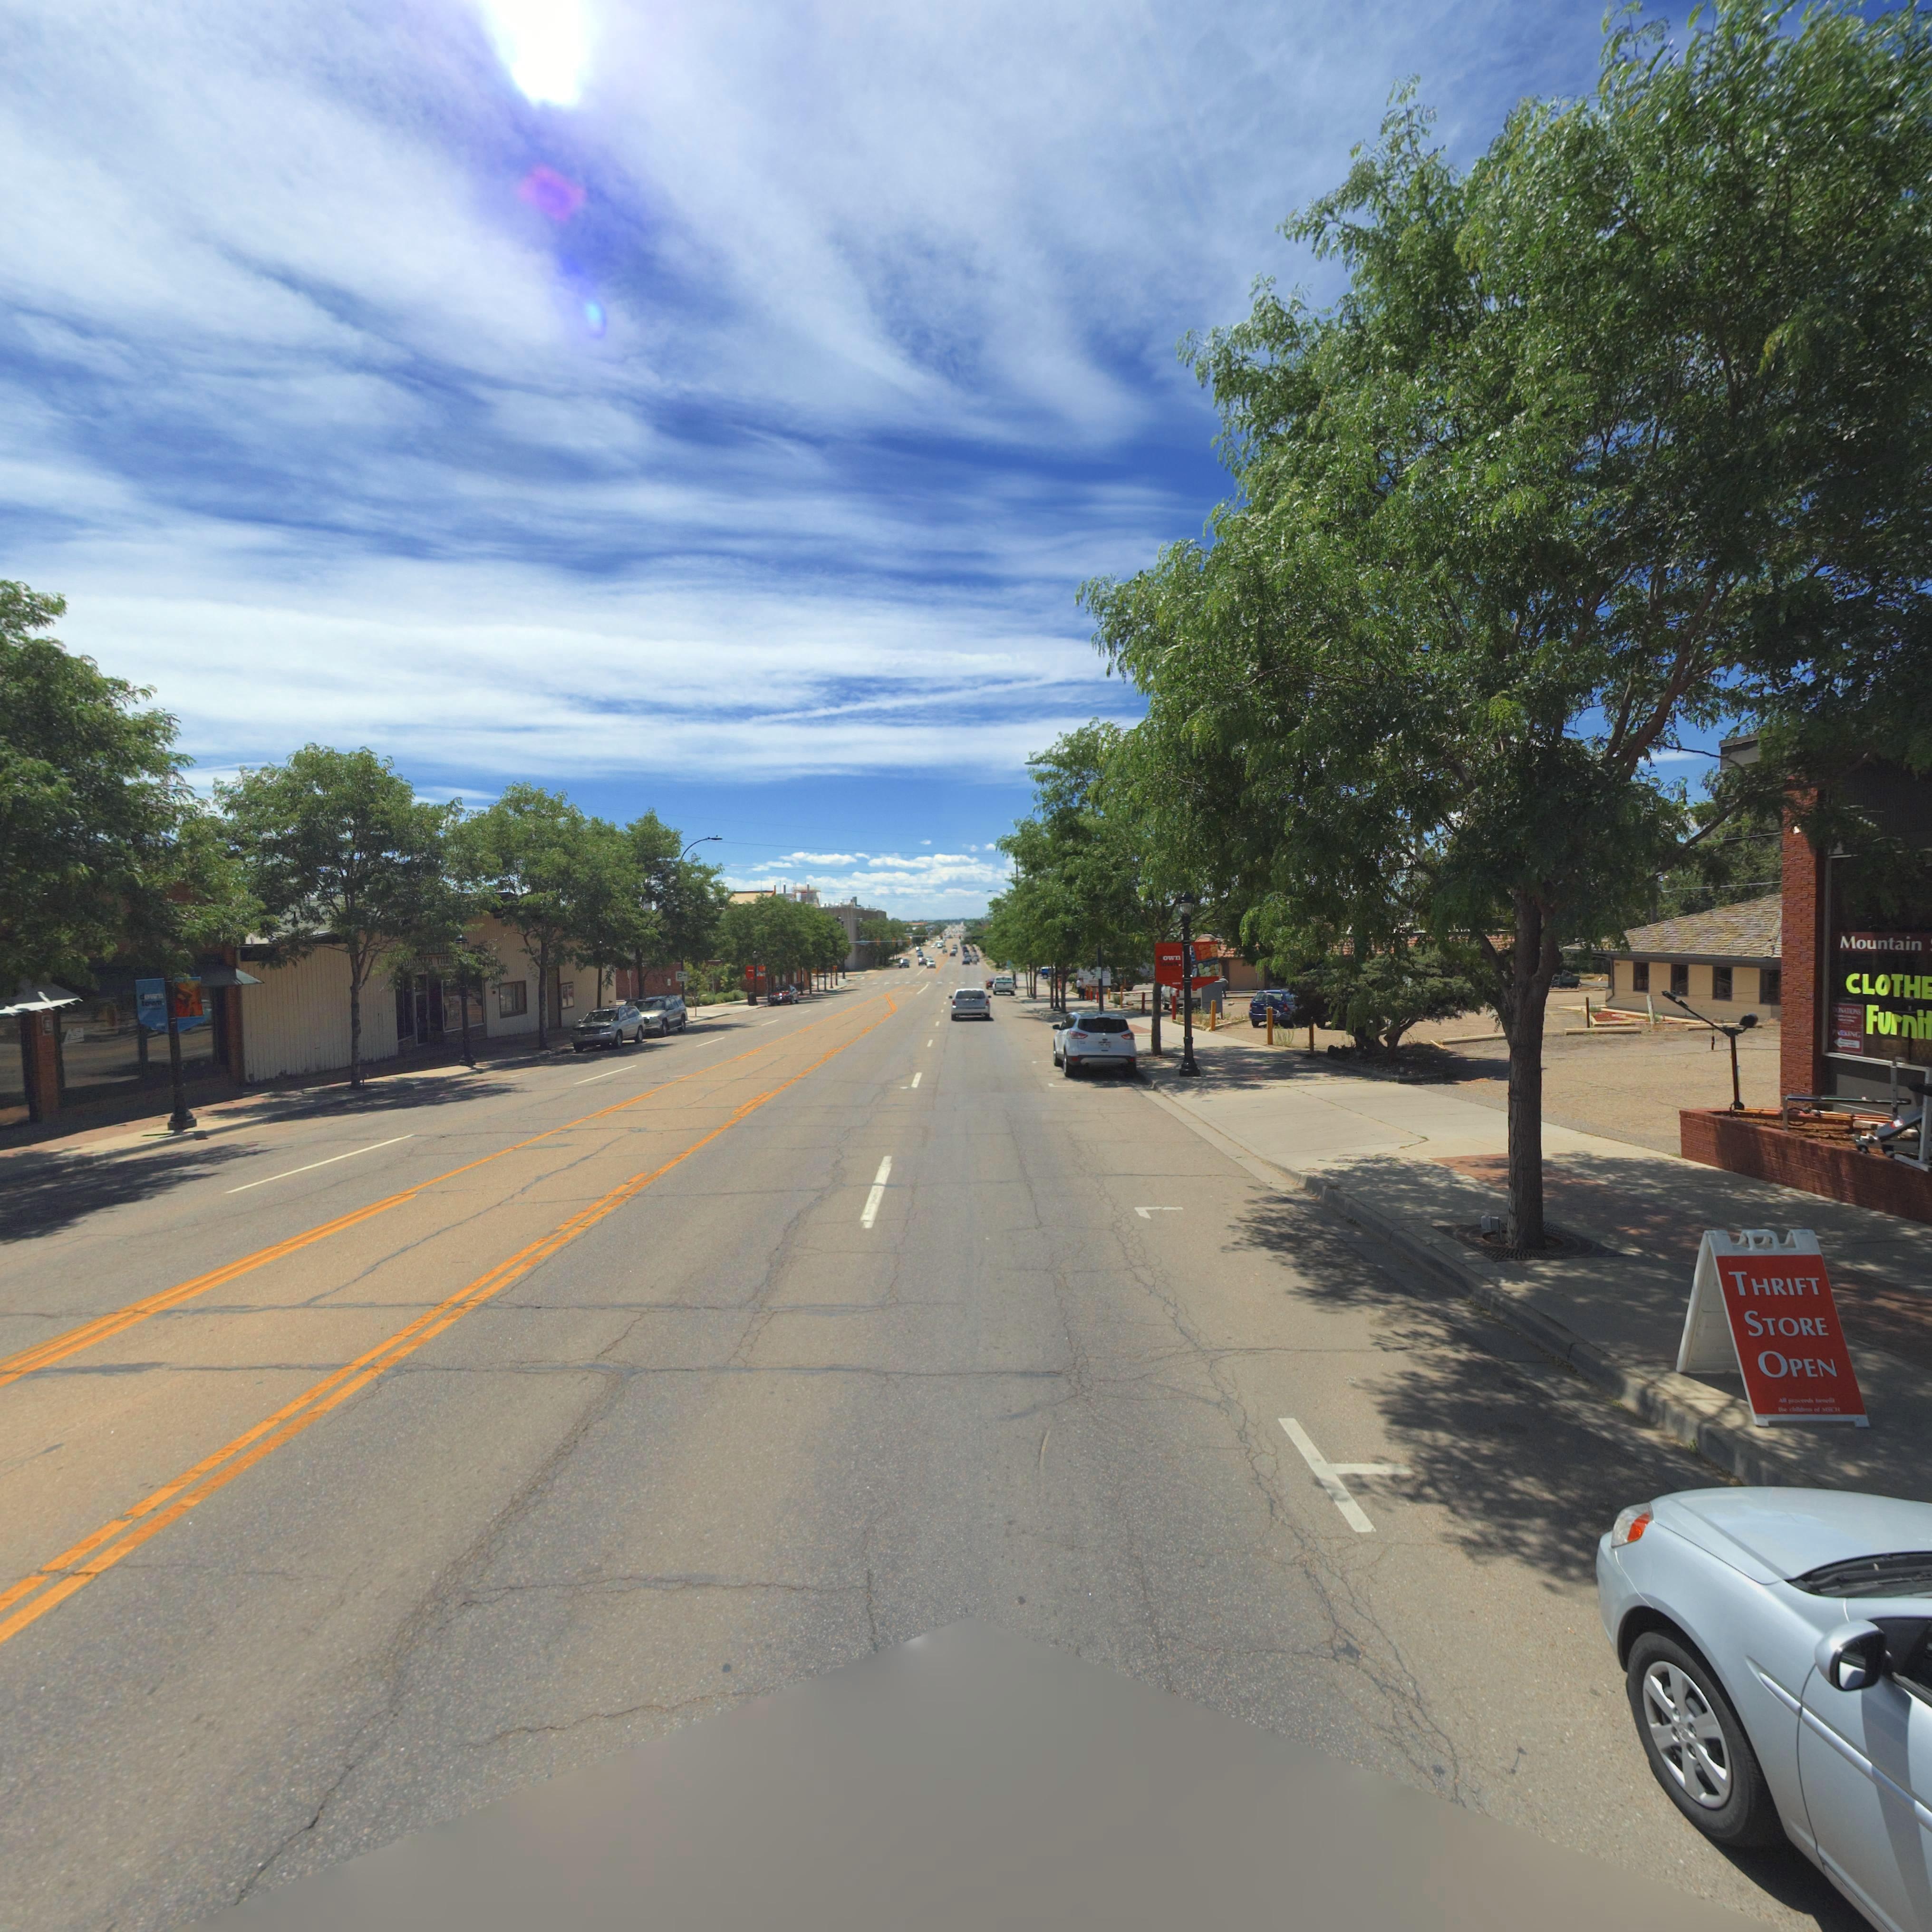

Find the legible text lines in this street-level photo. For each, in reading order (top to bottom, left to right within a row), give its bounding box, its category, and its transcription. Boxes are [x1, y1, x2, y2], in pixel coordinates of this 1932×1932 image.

[423, 941, 456, 955] BusinessName: **STE**
[1839, 935, 1922, 951] BusinessName: Mountain
[404, 953, 467, 967] BusinessName: DINNER THE****